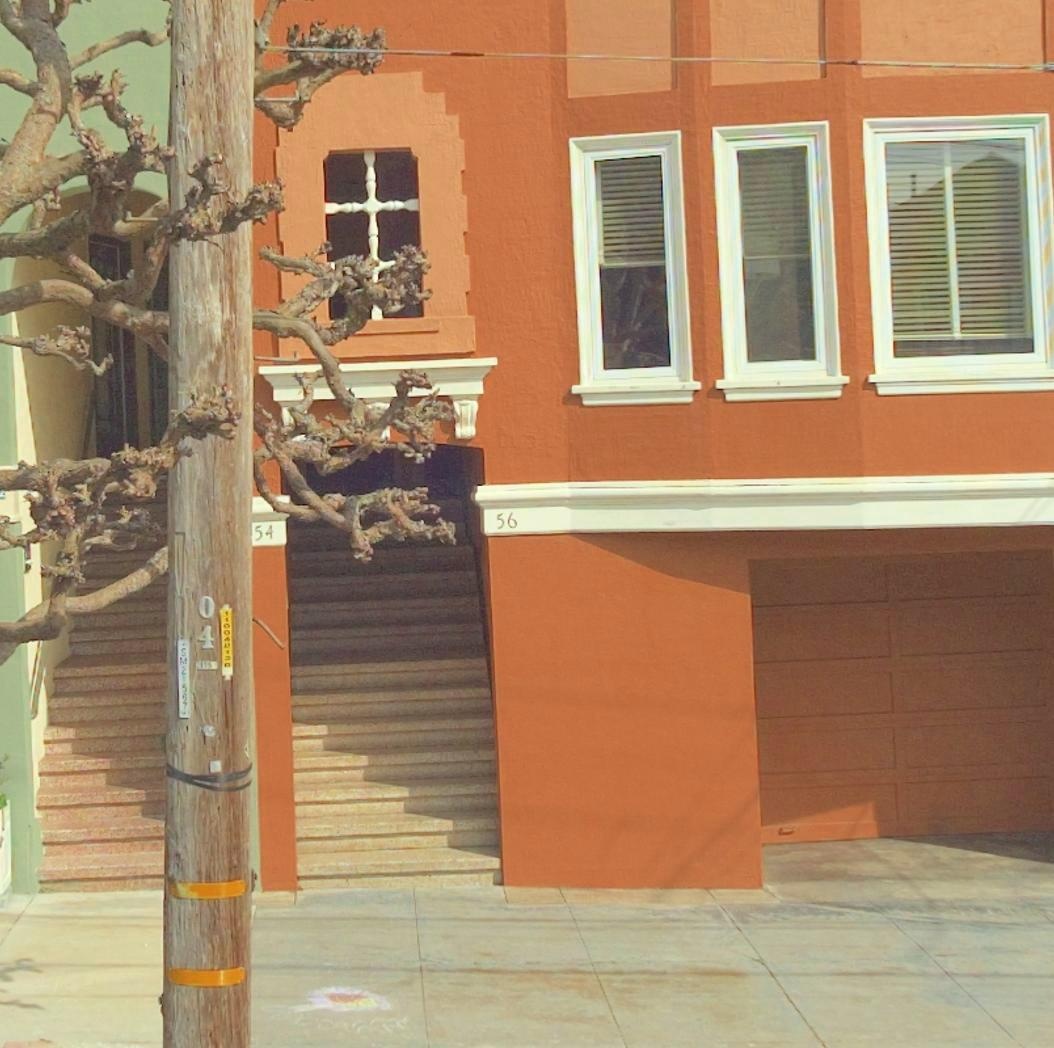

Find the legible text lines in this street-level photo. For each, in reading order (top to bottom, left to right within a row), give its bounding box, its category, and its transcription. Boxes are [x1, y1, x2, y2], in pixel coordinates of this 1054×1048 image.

[251, 522, 274, 542] StreetNumber: 54
[494, 509, 519, 531] StreetNumber: 56
[197, 592, 215, 652] None: 04
[221, 608, 231, 656] None: 11004*1
[179, 644, 188, 710] None: SM21567